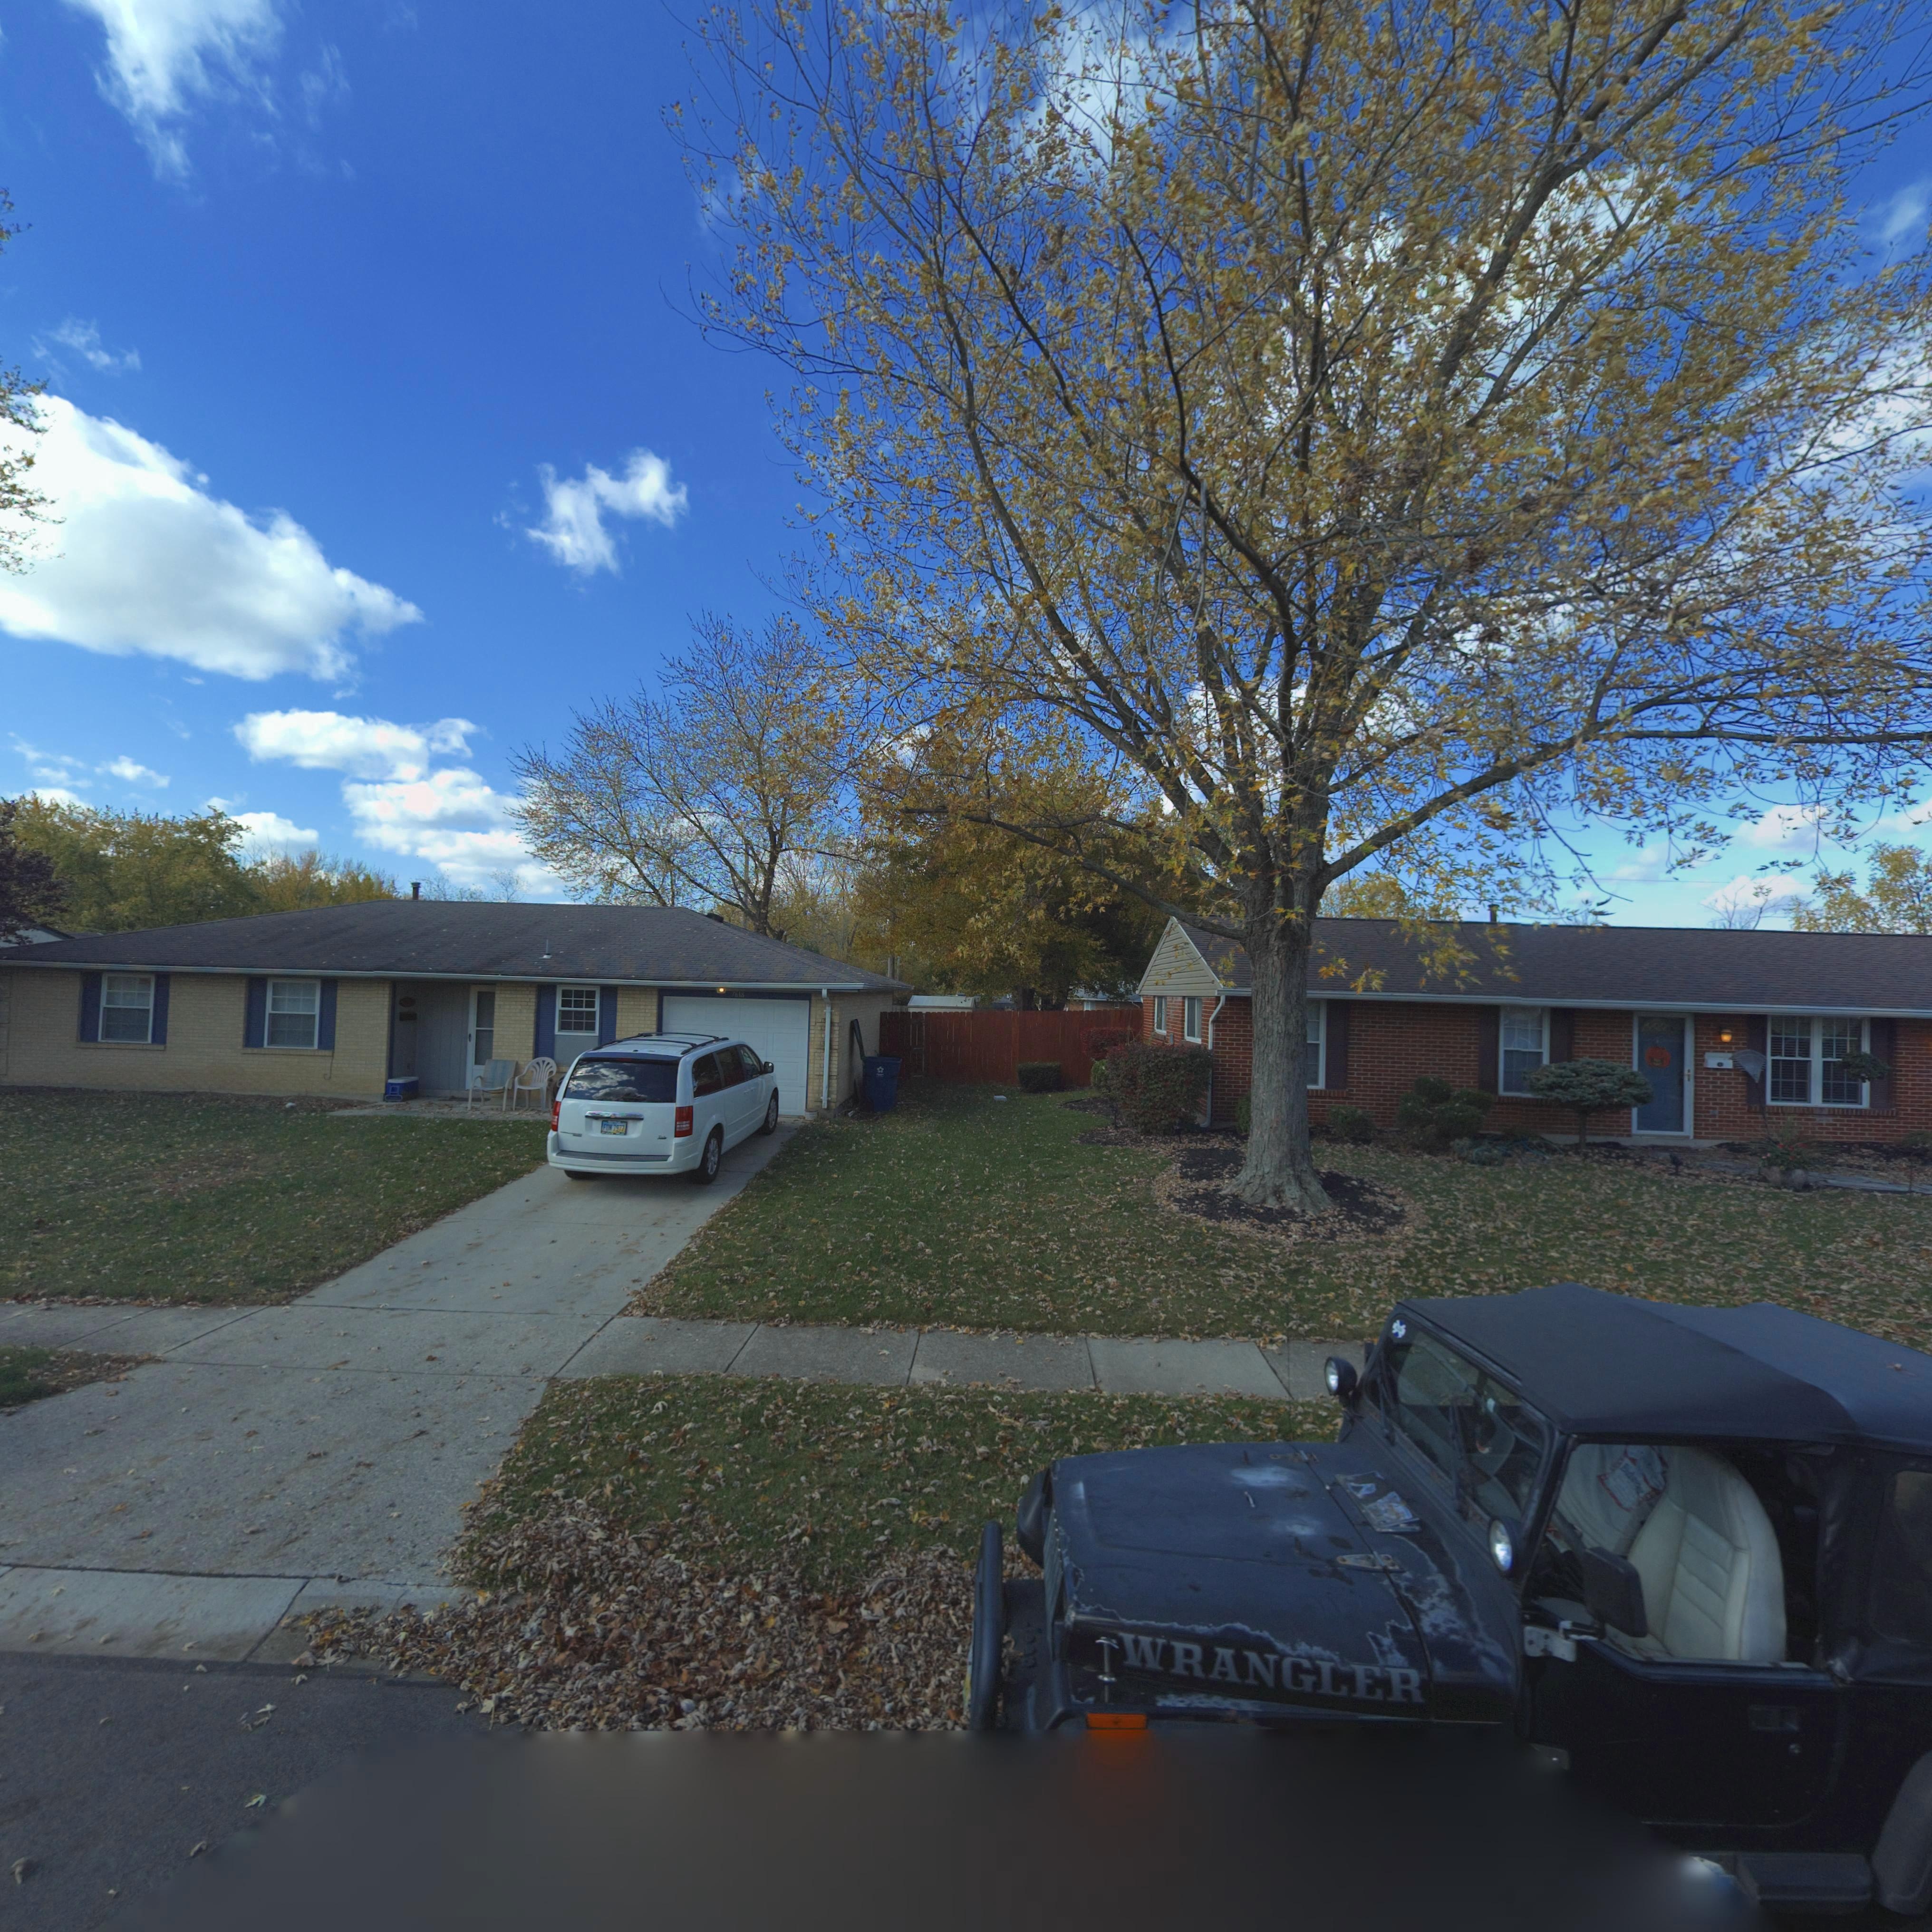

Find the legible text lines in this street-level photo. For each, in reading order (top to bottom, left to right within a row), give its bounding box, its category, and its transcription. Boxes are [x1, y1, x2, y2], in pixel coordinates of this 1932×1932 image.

[731, 991, 745, 998] StreetNumber: 7618